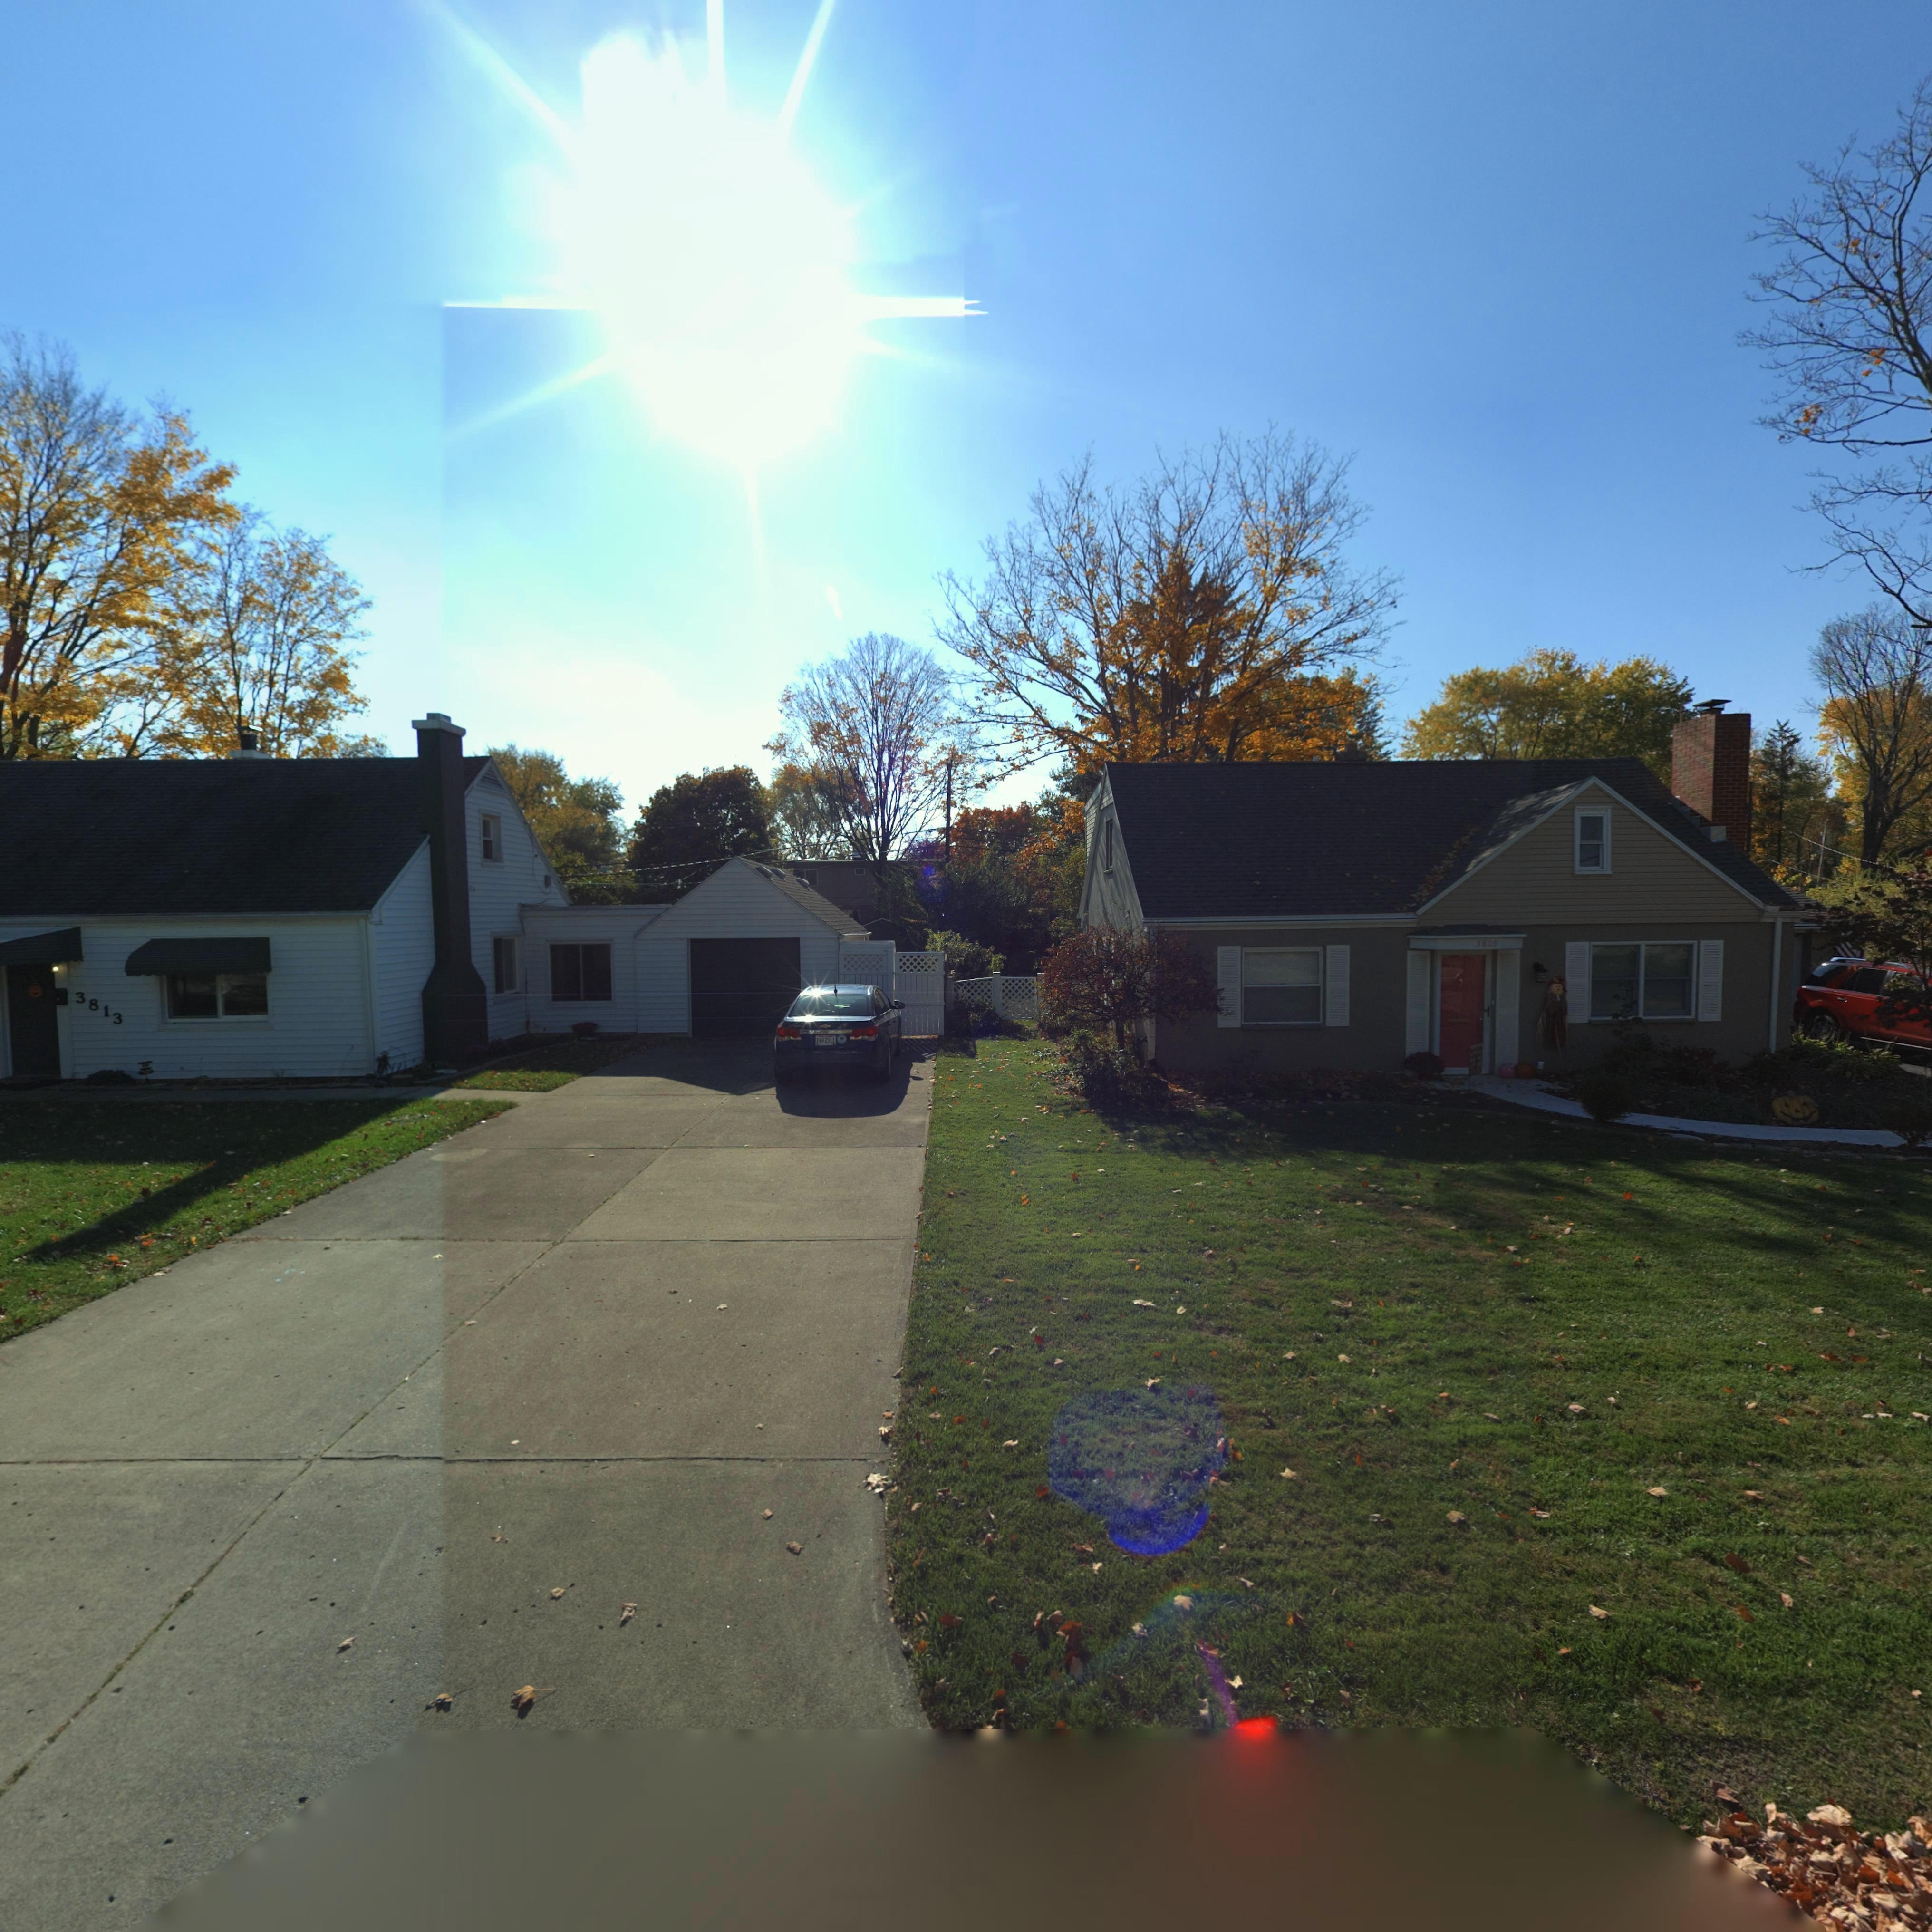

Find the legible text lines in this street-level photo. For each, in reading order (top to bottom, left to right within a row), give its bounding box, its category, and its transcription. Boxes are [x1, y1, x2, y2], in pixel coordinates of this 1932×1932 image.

[1475, 938, 1499, 949] StreetNumber: 3809
[74, 990, 125, 1025] StreetNumber: 3813